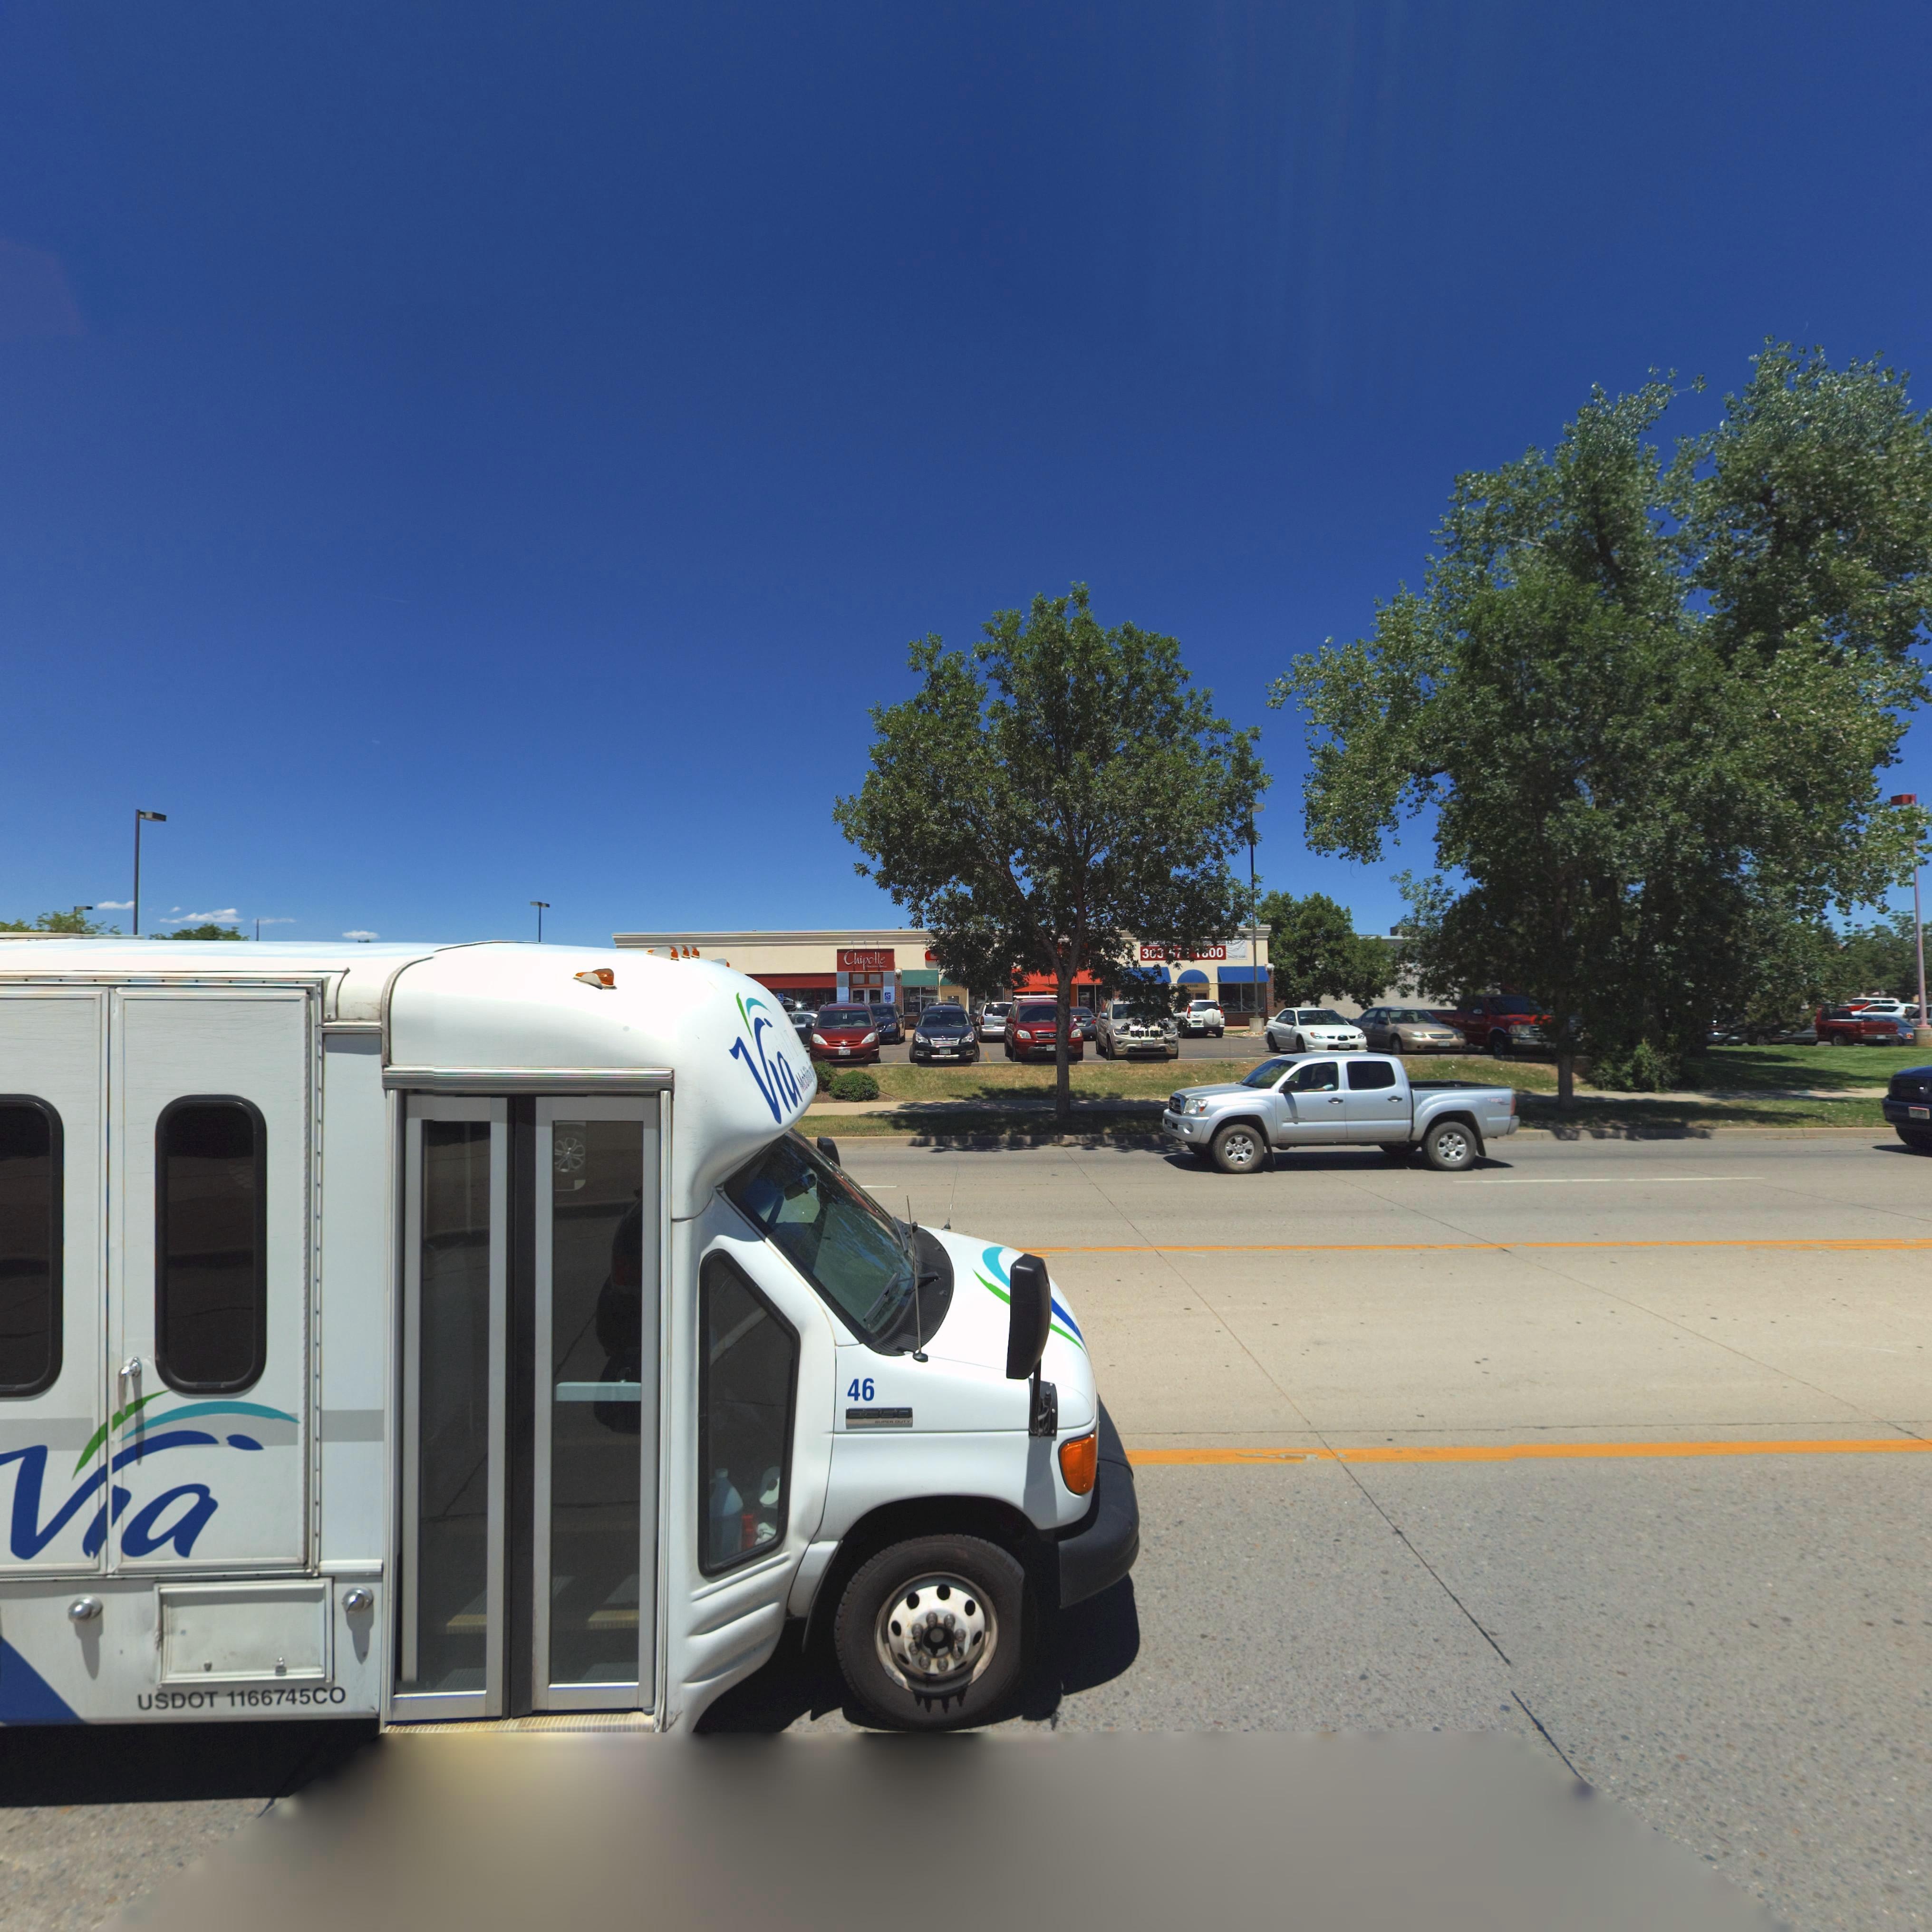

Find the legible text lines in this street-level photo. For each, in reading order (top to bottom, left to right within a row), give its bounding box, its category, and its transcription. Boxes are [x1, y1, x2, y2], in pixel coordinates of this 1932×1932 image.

[843, 949, 886, 971] BusinessName: Chipotle
[925, 986, 934, 990] StreetNumber: 1100